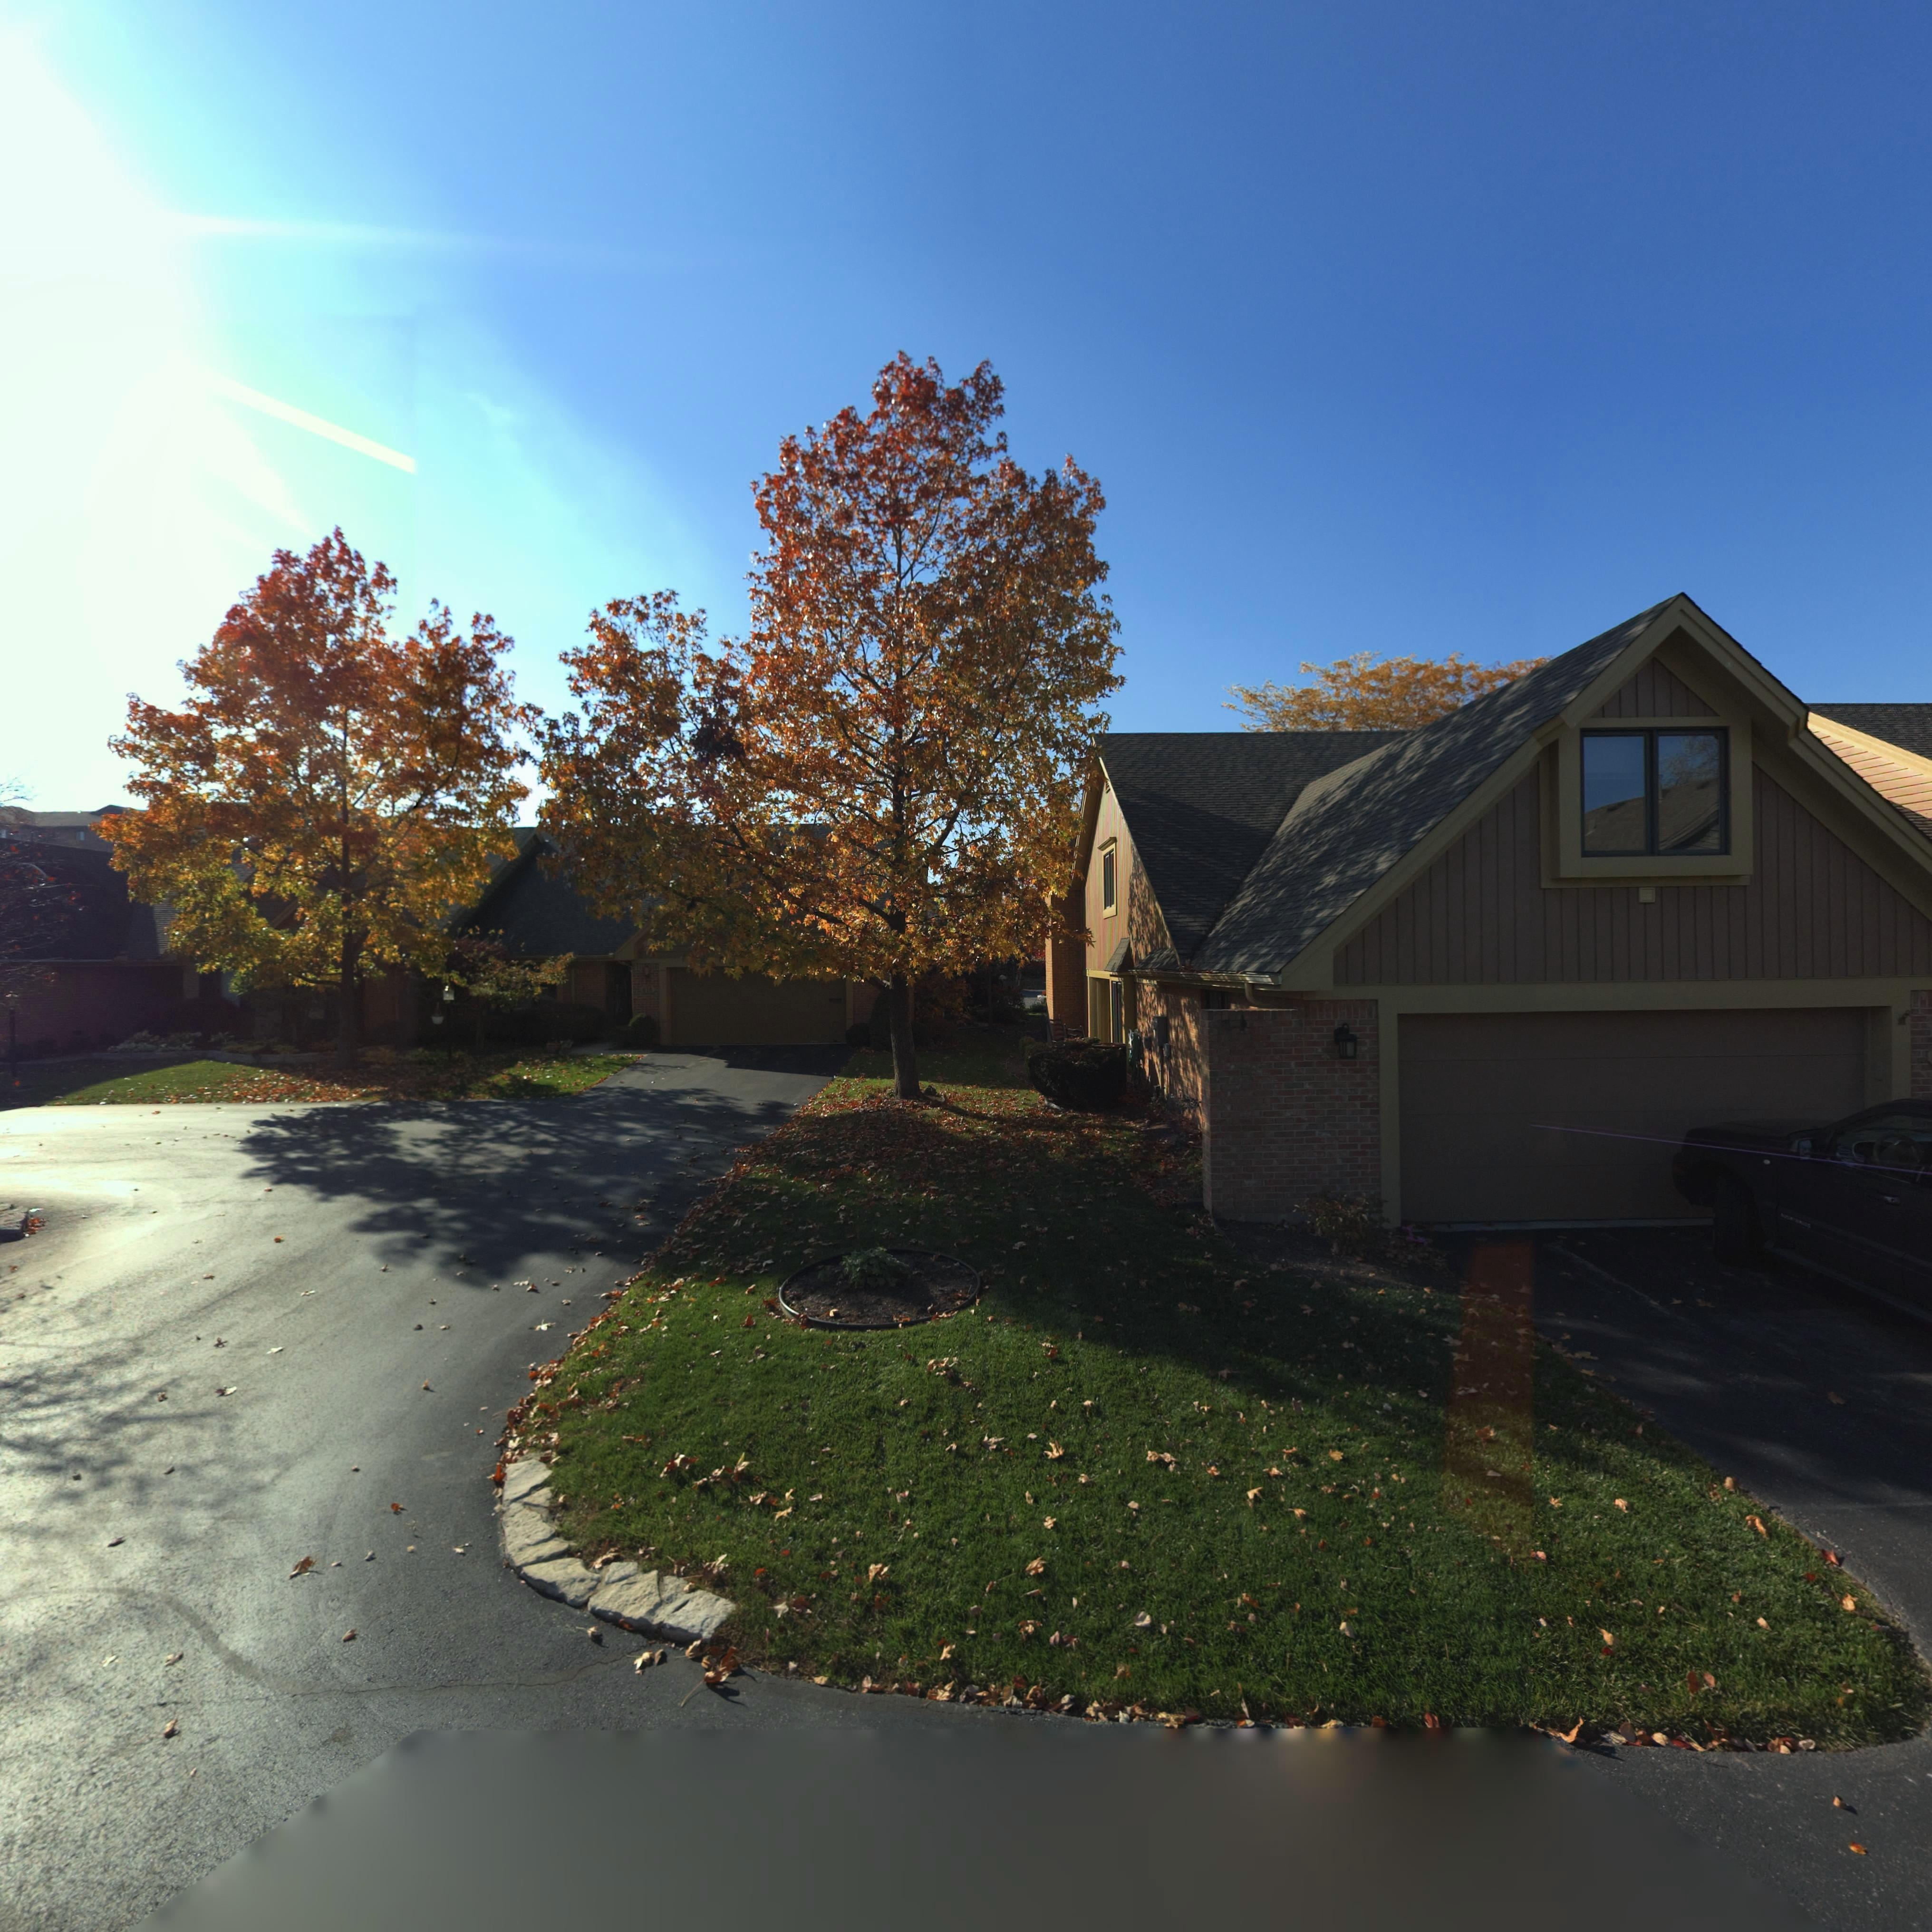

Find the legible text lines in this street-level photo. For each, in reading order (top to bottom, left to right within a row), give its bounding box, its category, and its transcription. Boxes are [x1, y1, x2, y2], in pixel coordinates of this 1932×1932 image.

[641, 987, 654, 993] StreetNumber: 616